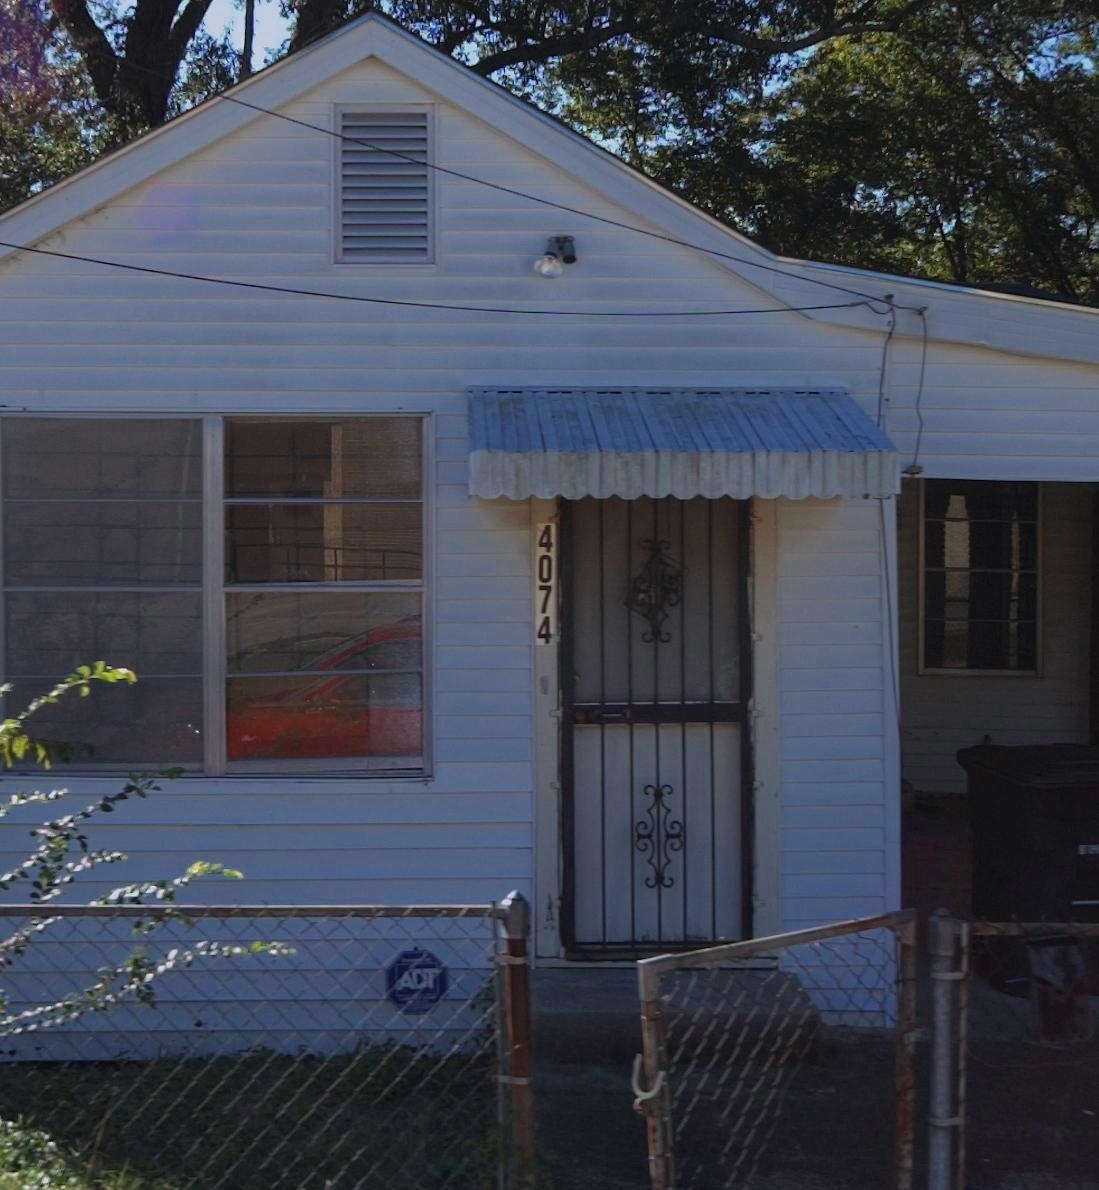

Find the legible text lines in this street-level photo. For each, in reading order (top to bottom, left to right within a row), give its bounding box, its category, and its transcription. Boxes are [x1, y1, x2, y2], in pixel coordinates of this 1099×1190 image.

[535, 523, 557, 647] StreetNumber: 4074
[394, 965, 442, 993] None: ADT